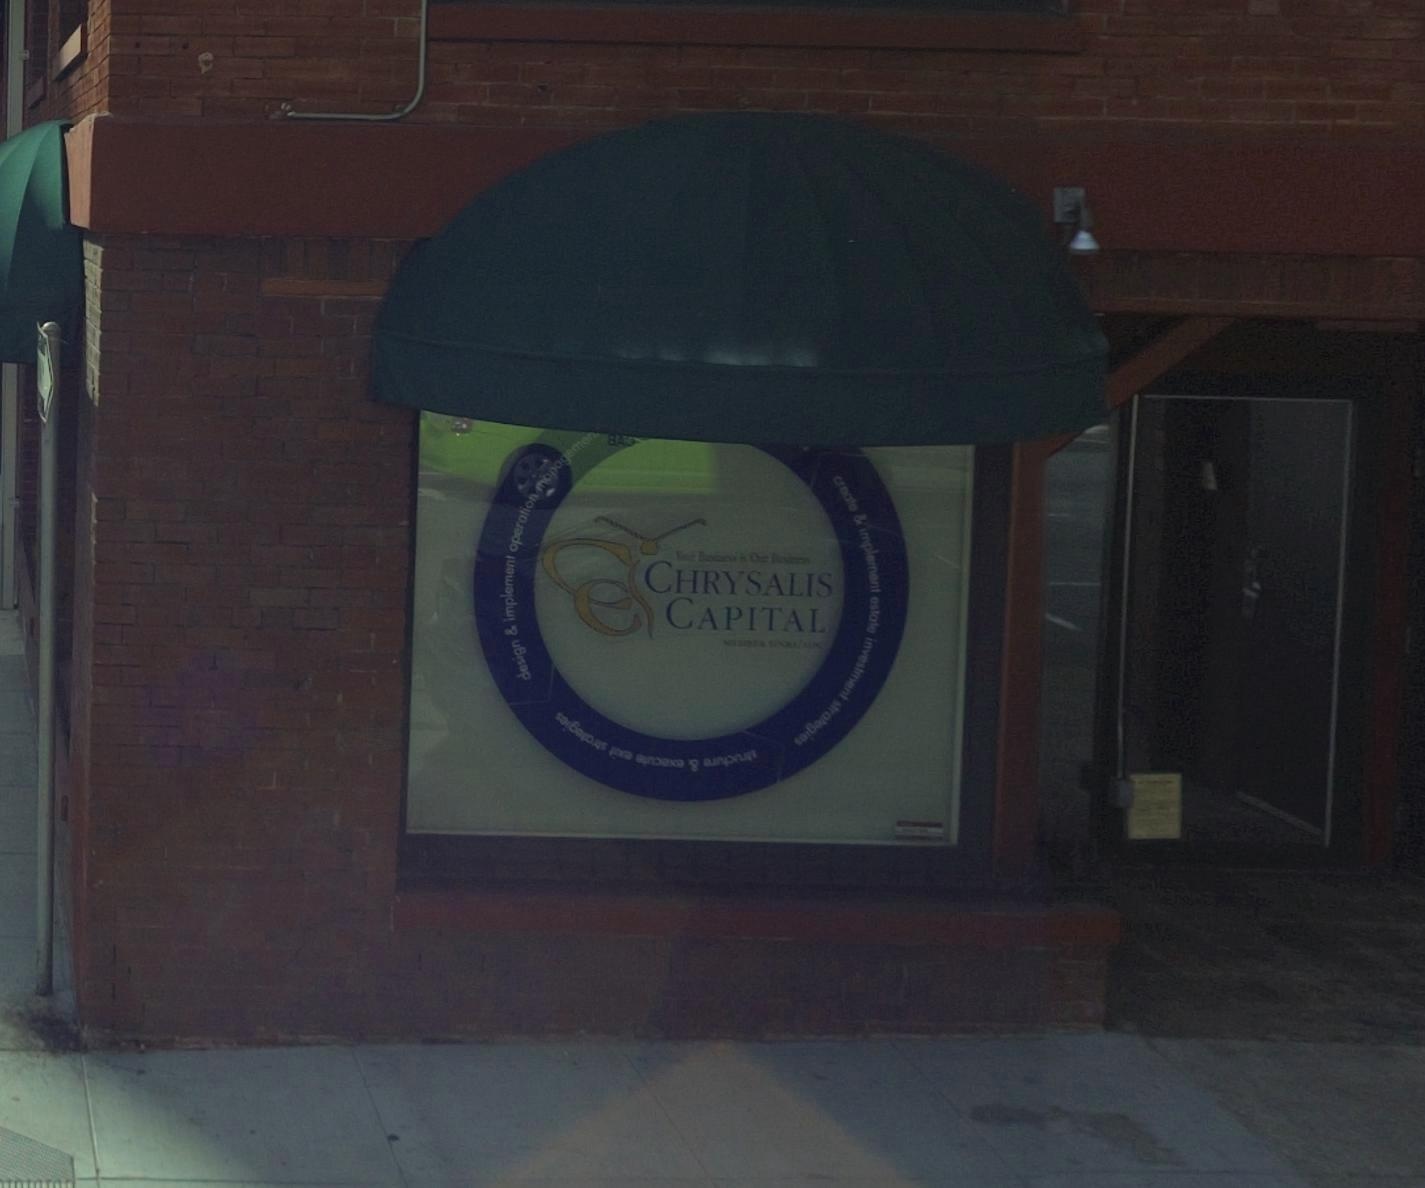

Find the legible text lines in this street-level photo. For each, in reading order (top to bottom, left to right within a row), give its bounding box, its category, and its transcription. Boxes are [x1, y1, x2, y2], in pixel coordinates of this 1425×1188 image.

[606, 431, 639, 451] None: *A*
[494, 430, 601, 688] None: designe & implement operation monagemen
[640, 557, 837, 600] BusinessName: CHRYSALIS
[746, 549, 763, 565] None: O
[663, 595, 832, 637] BusinessName: CAPITAL
[789, 473, 886, 753] None: create & implement ***a** investment **ra**gies